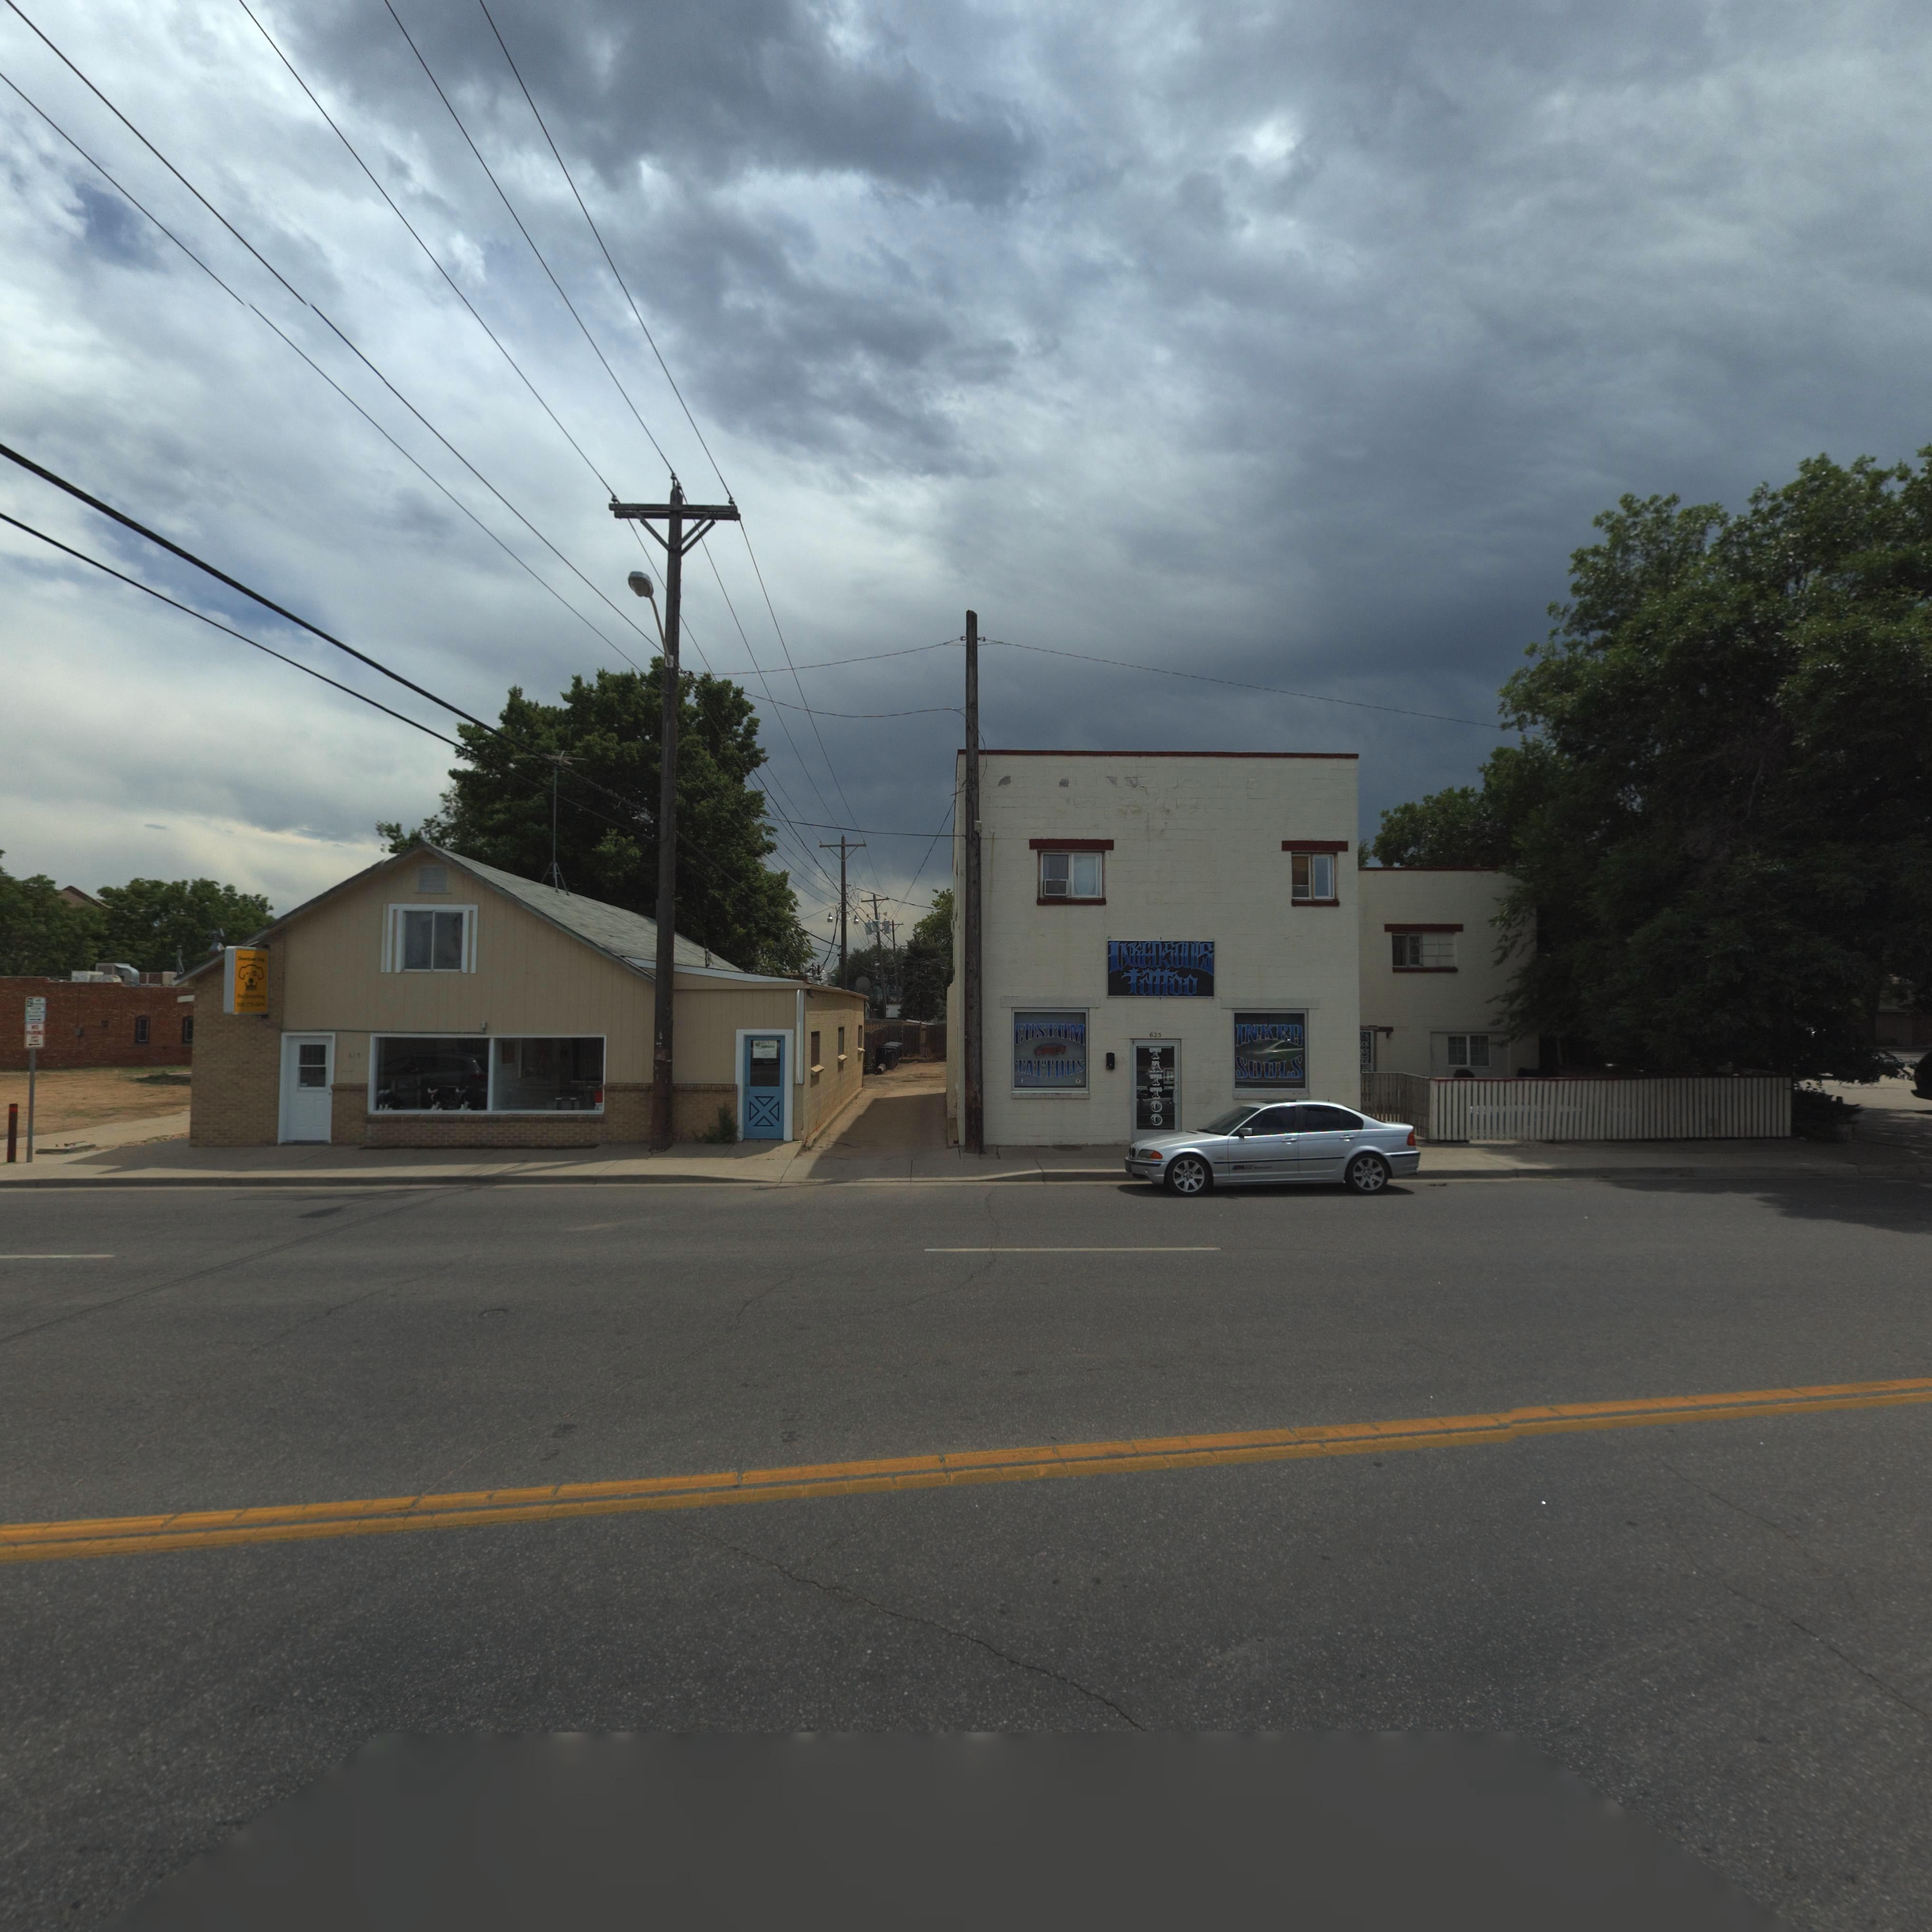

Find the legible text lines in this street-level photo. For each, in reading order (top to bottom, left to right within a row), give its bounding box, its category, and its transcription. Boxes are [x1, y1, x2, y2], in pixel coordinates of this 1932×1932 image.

[1109, 941, 1213, 976] BusinessName: INKEDSOULS
[1120, 967, 1198, 996] BusinessName: Tattoo
[1150, 1032, 1162, 1037] StreetNumber: 625
[1236, 1024, 1302, 1047] BusinessName: INKED
[348, 1051, 360, 1059] StreetNumber: 615
[1236, 1053, 1302, 1078] BusinessName: SOULS